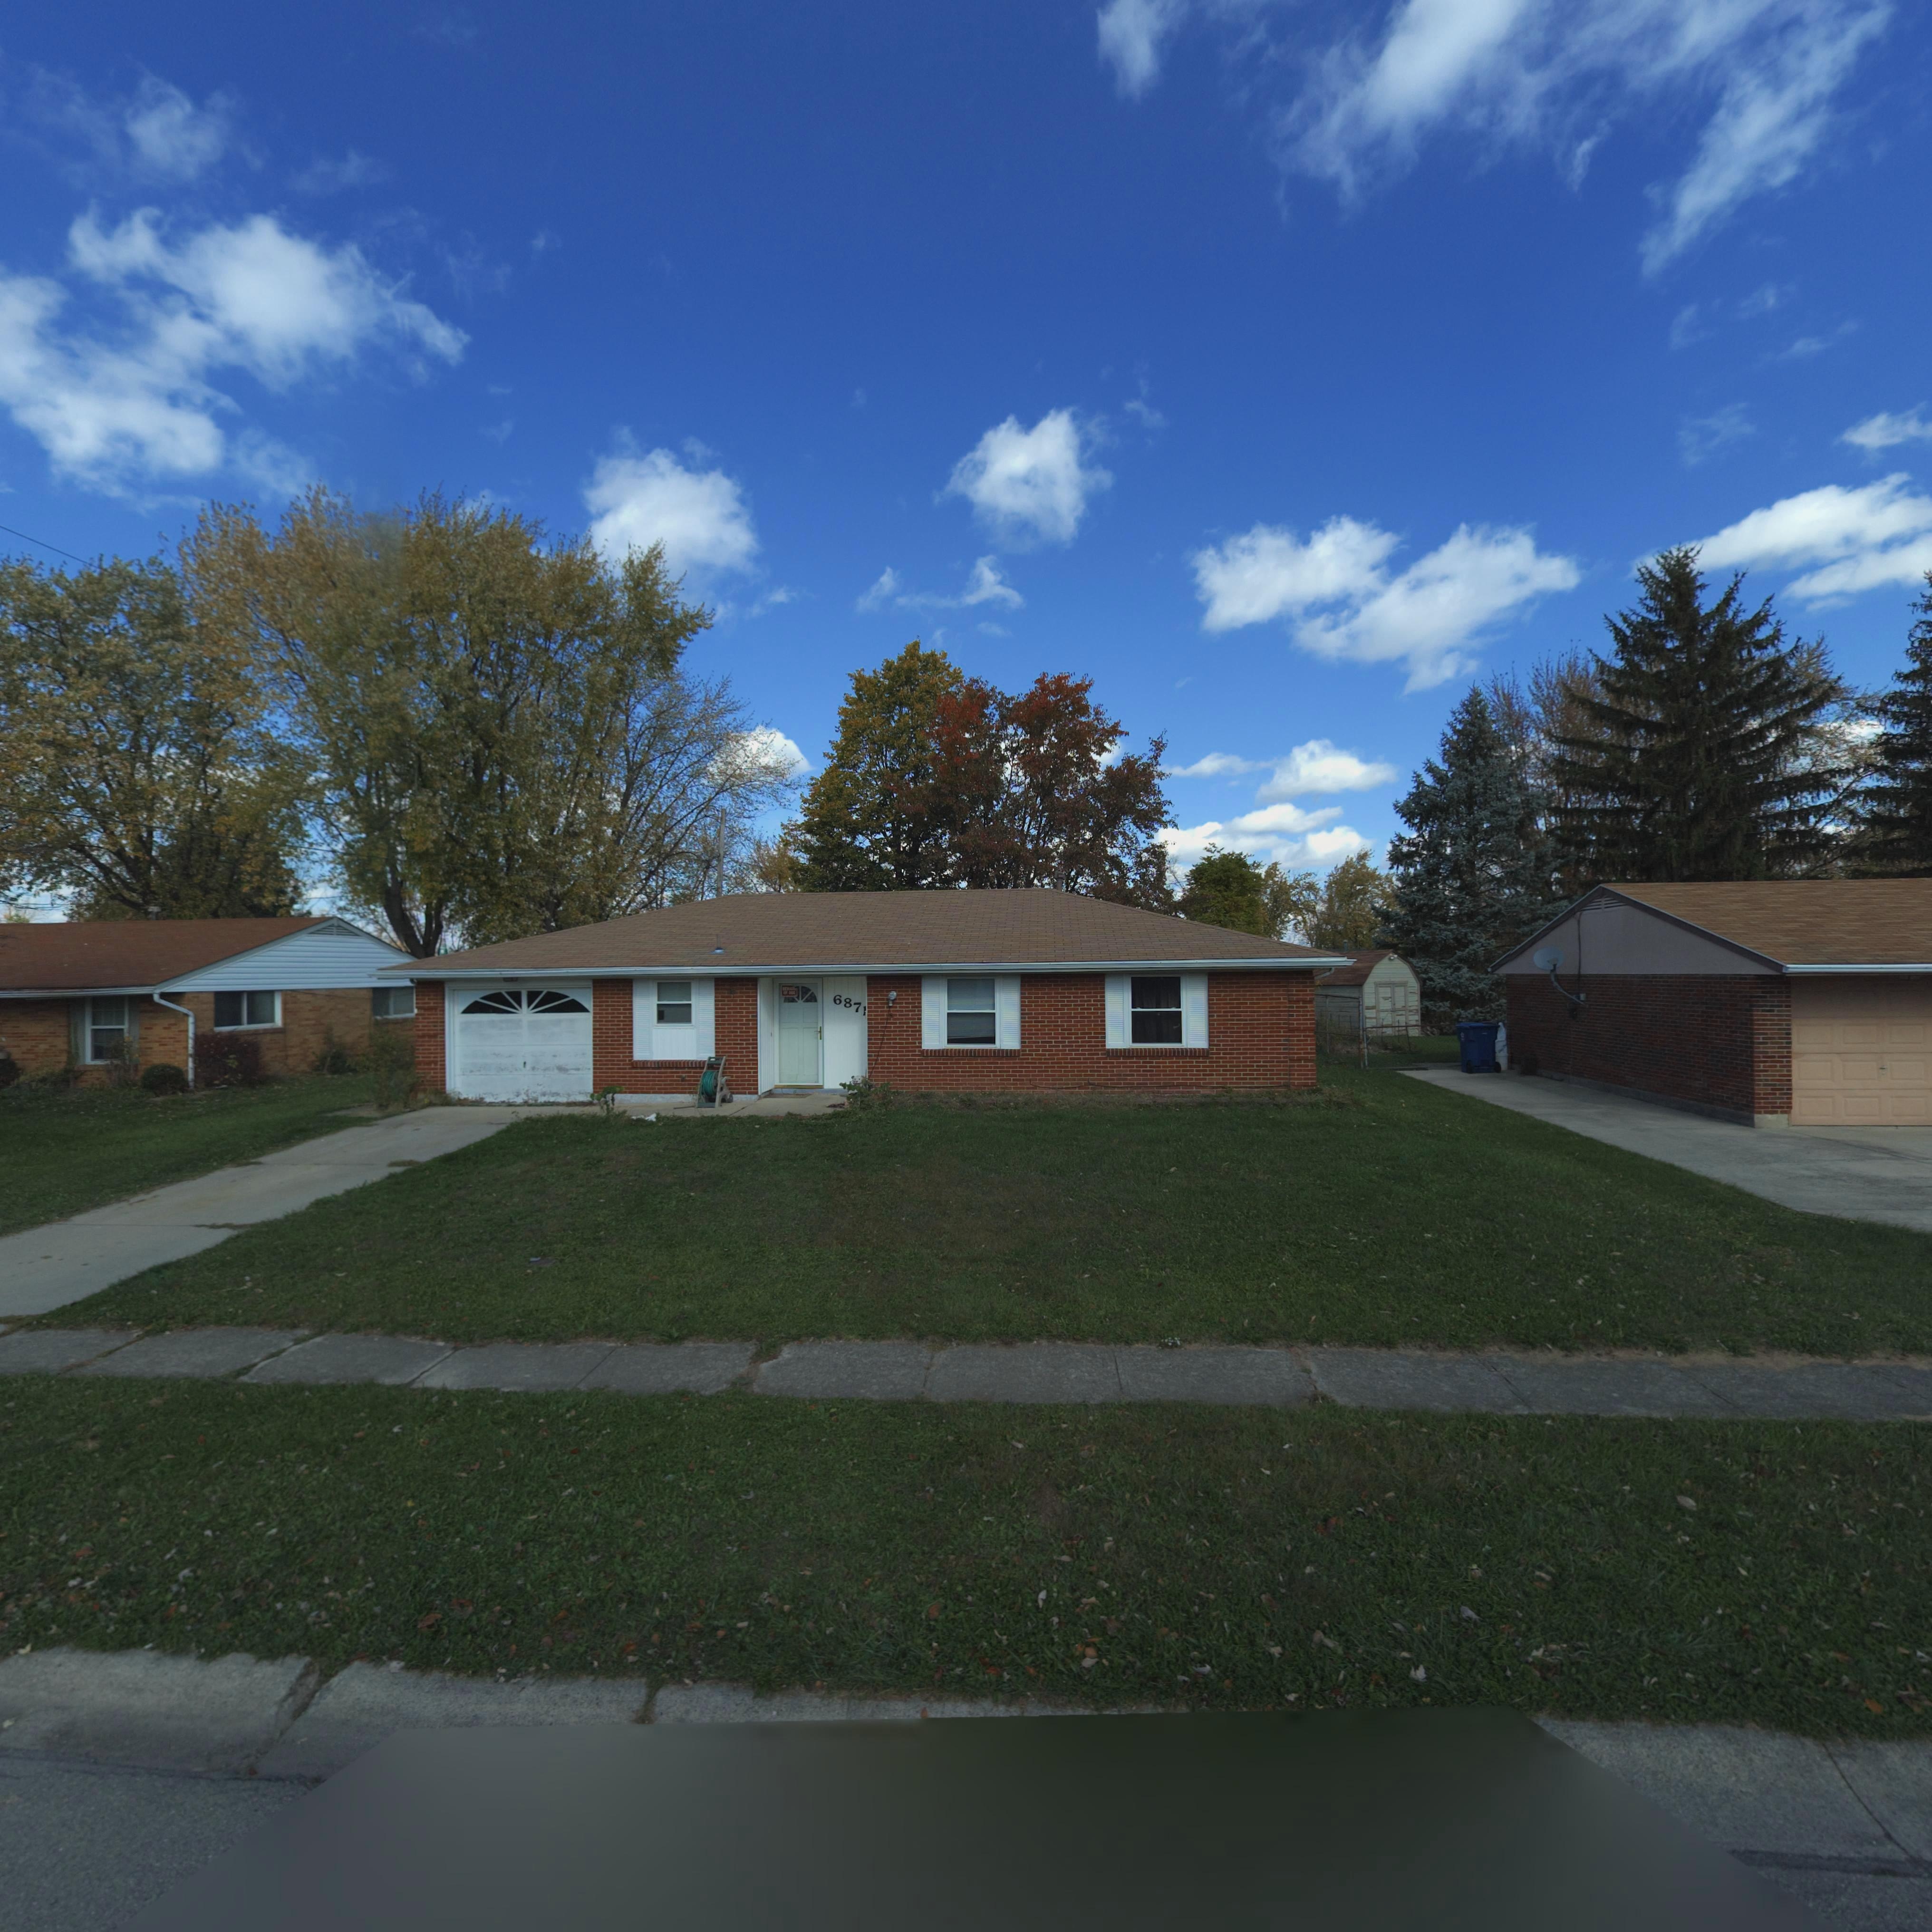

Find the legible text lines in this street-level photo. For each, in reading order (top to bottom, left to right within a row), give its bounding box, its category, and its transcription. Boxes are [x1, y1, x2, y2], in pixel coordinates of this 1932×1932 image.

[833, 994, 862, 1013] StreetNumber: 687